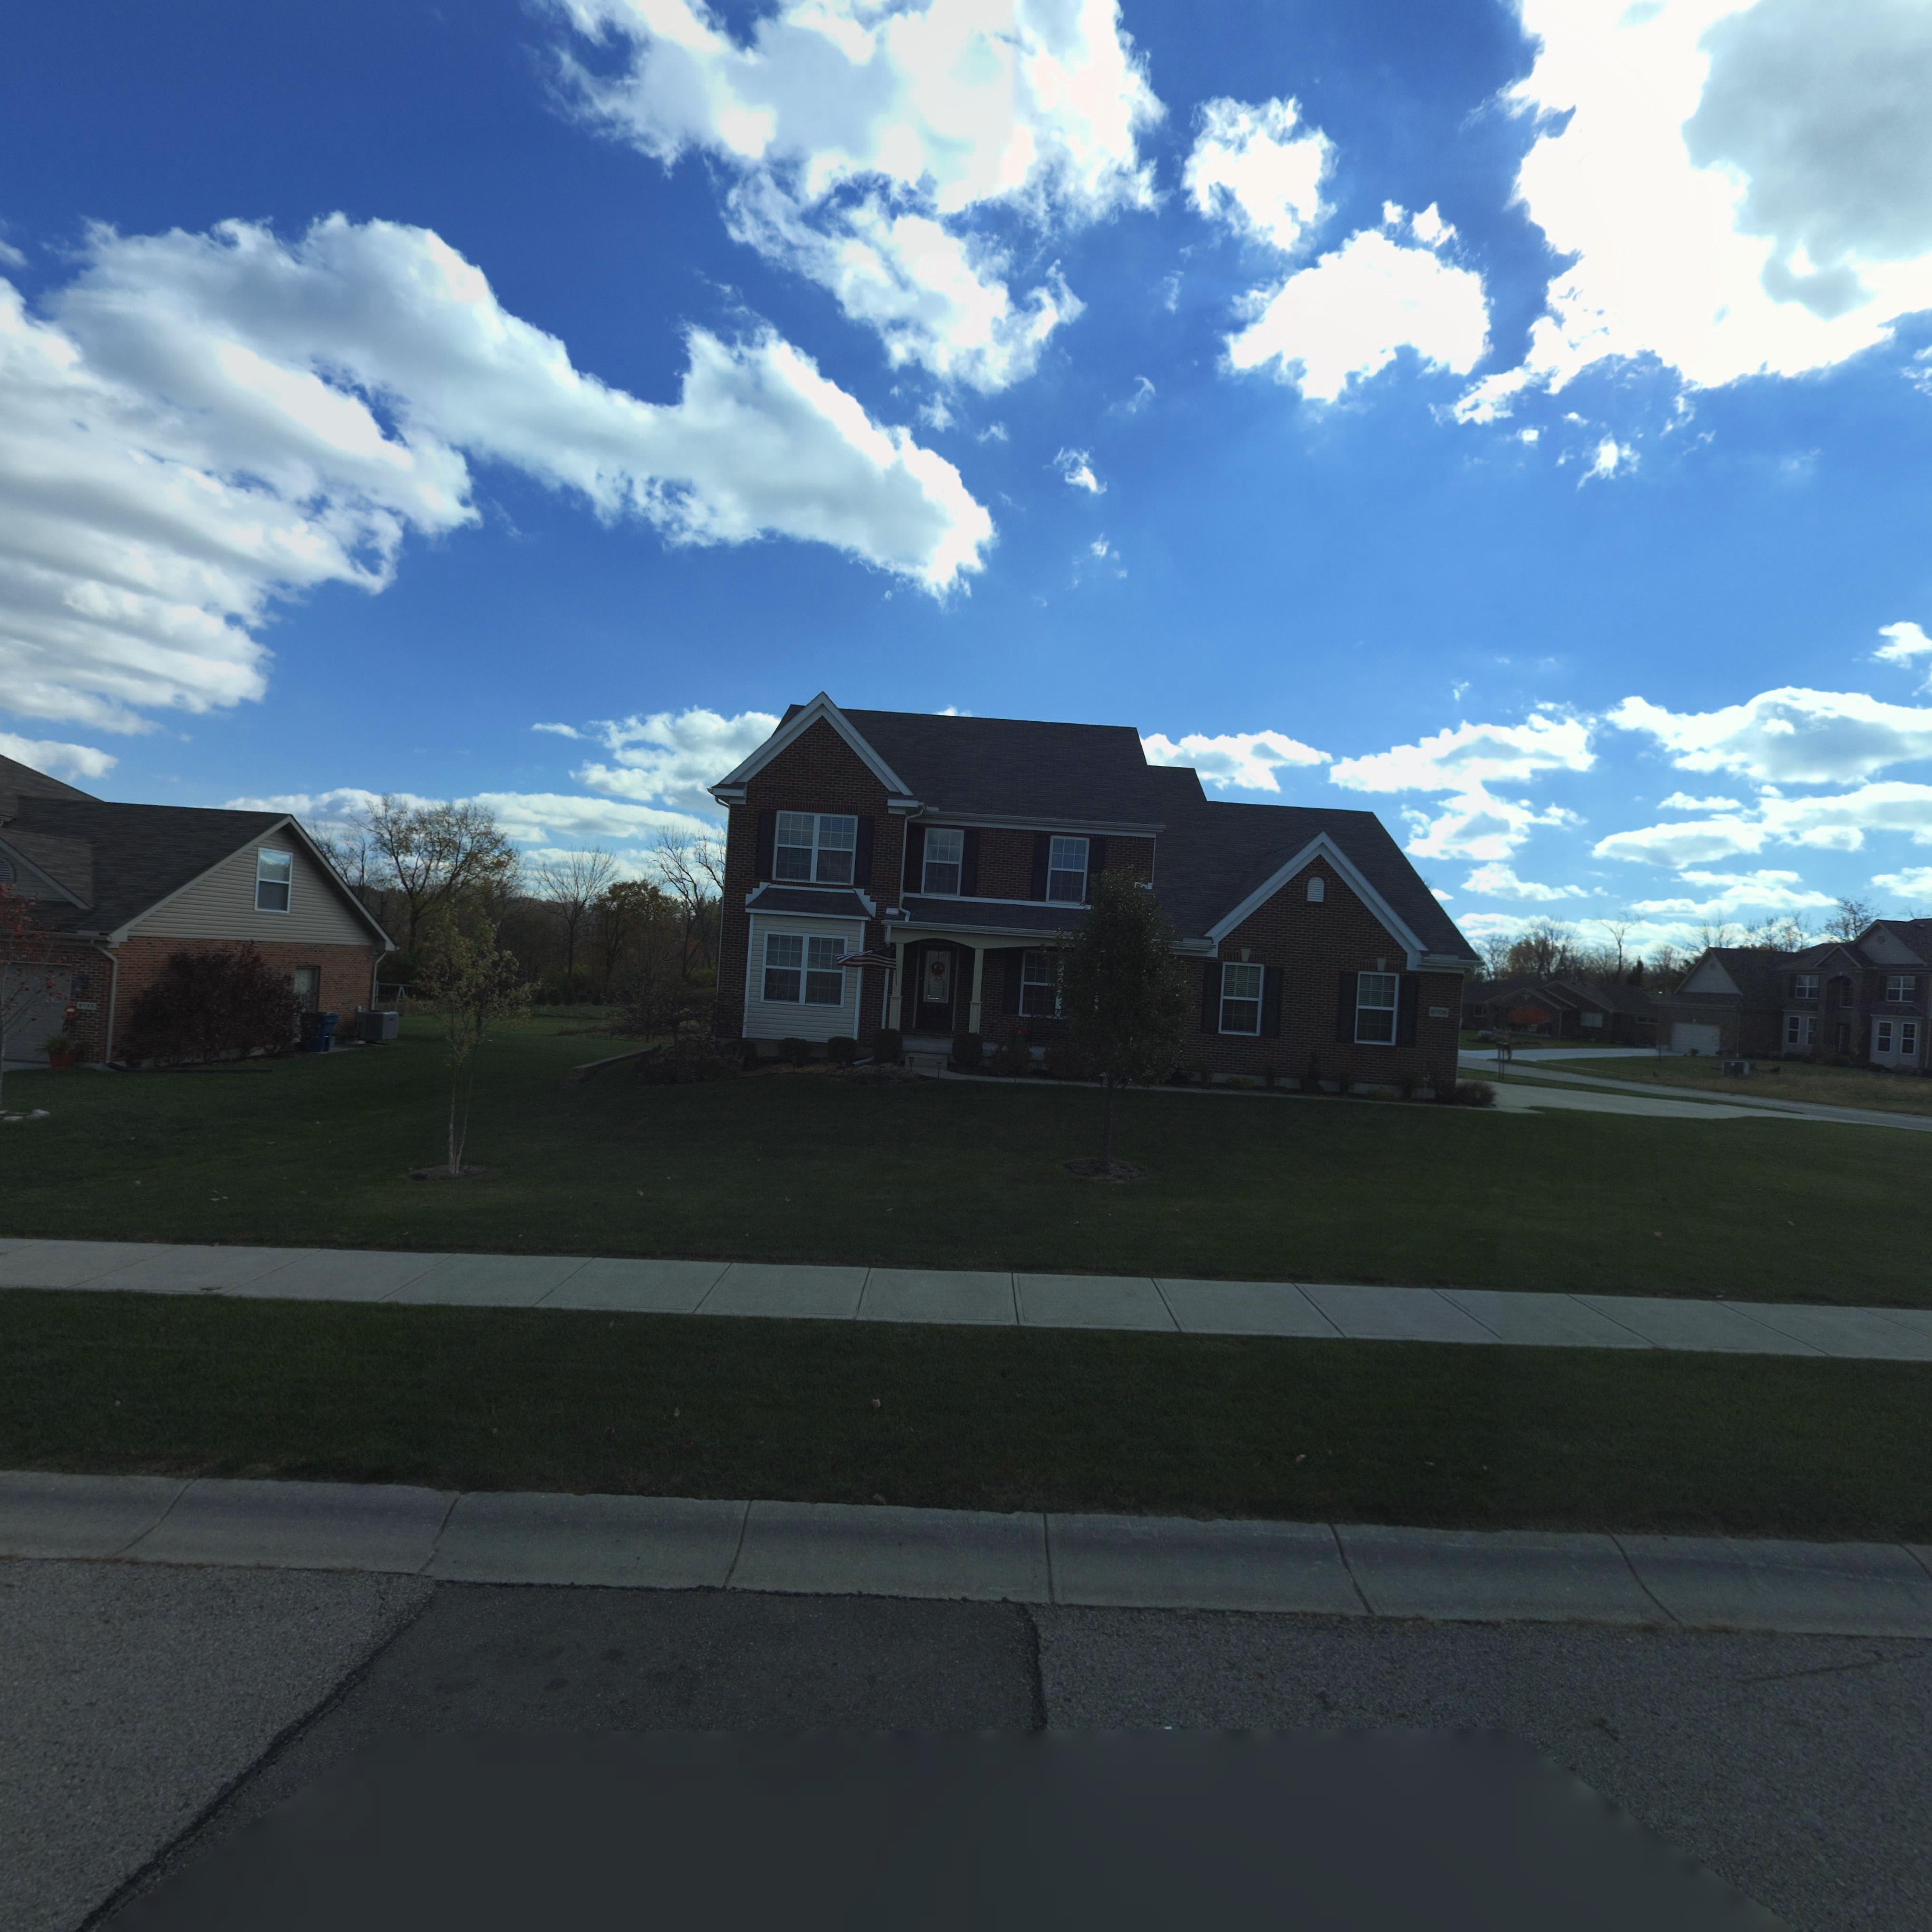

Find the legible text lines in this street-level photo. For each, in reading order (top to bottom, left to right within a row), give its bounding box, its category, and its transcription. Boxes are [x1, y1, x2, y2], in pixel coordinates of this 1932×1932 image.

[1429, 1008, 1448, 1016] StreetNumber: 6708